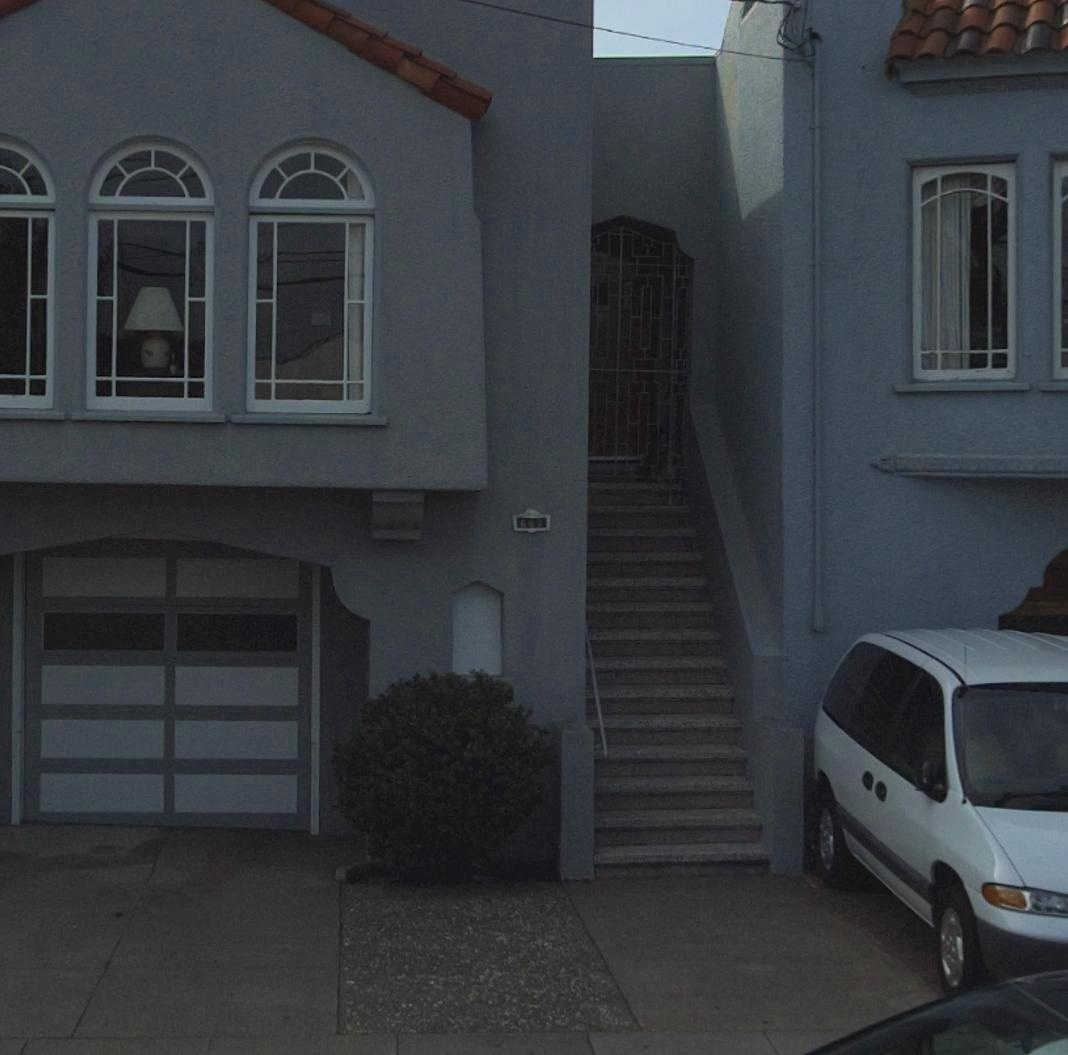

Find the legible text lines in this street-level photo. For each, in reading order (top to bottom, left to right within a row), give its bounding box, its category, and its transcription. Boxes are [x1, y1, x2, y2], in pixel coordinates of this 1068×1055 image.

[519, 517, 544, 529] StreetNumber: 667